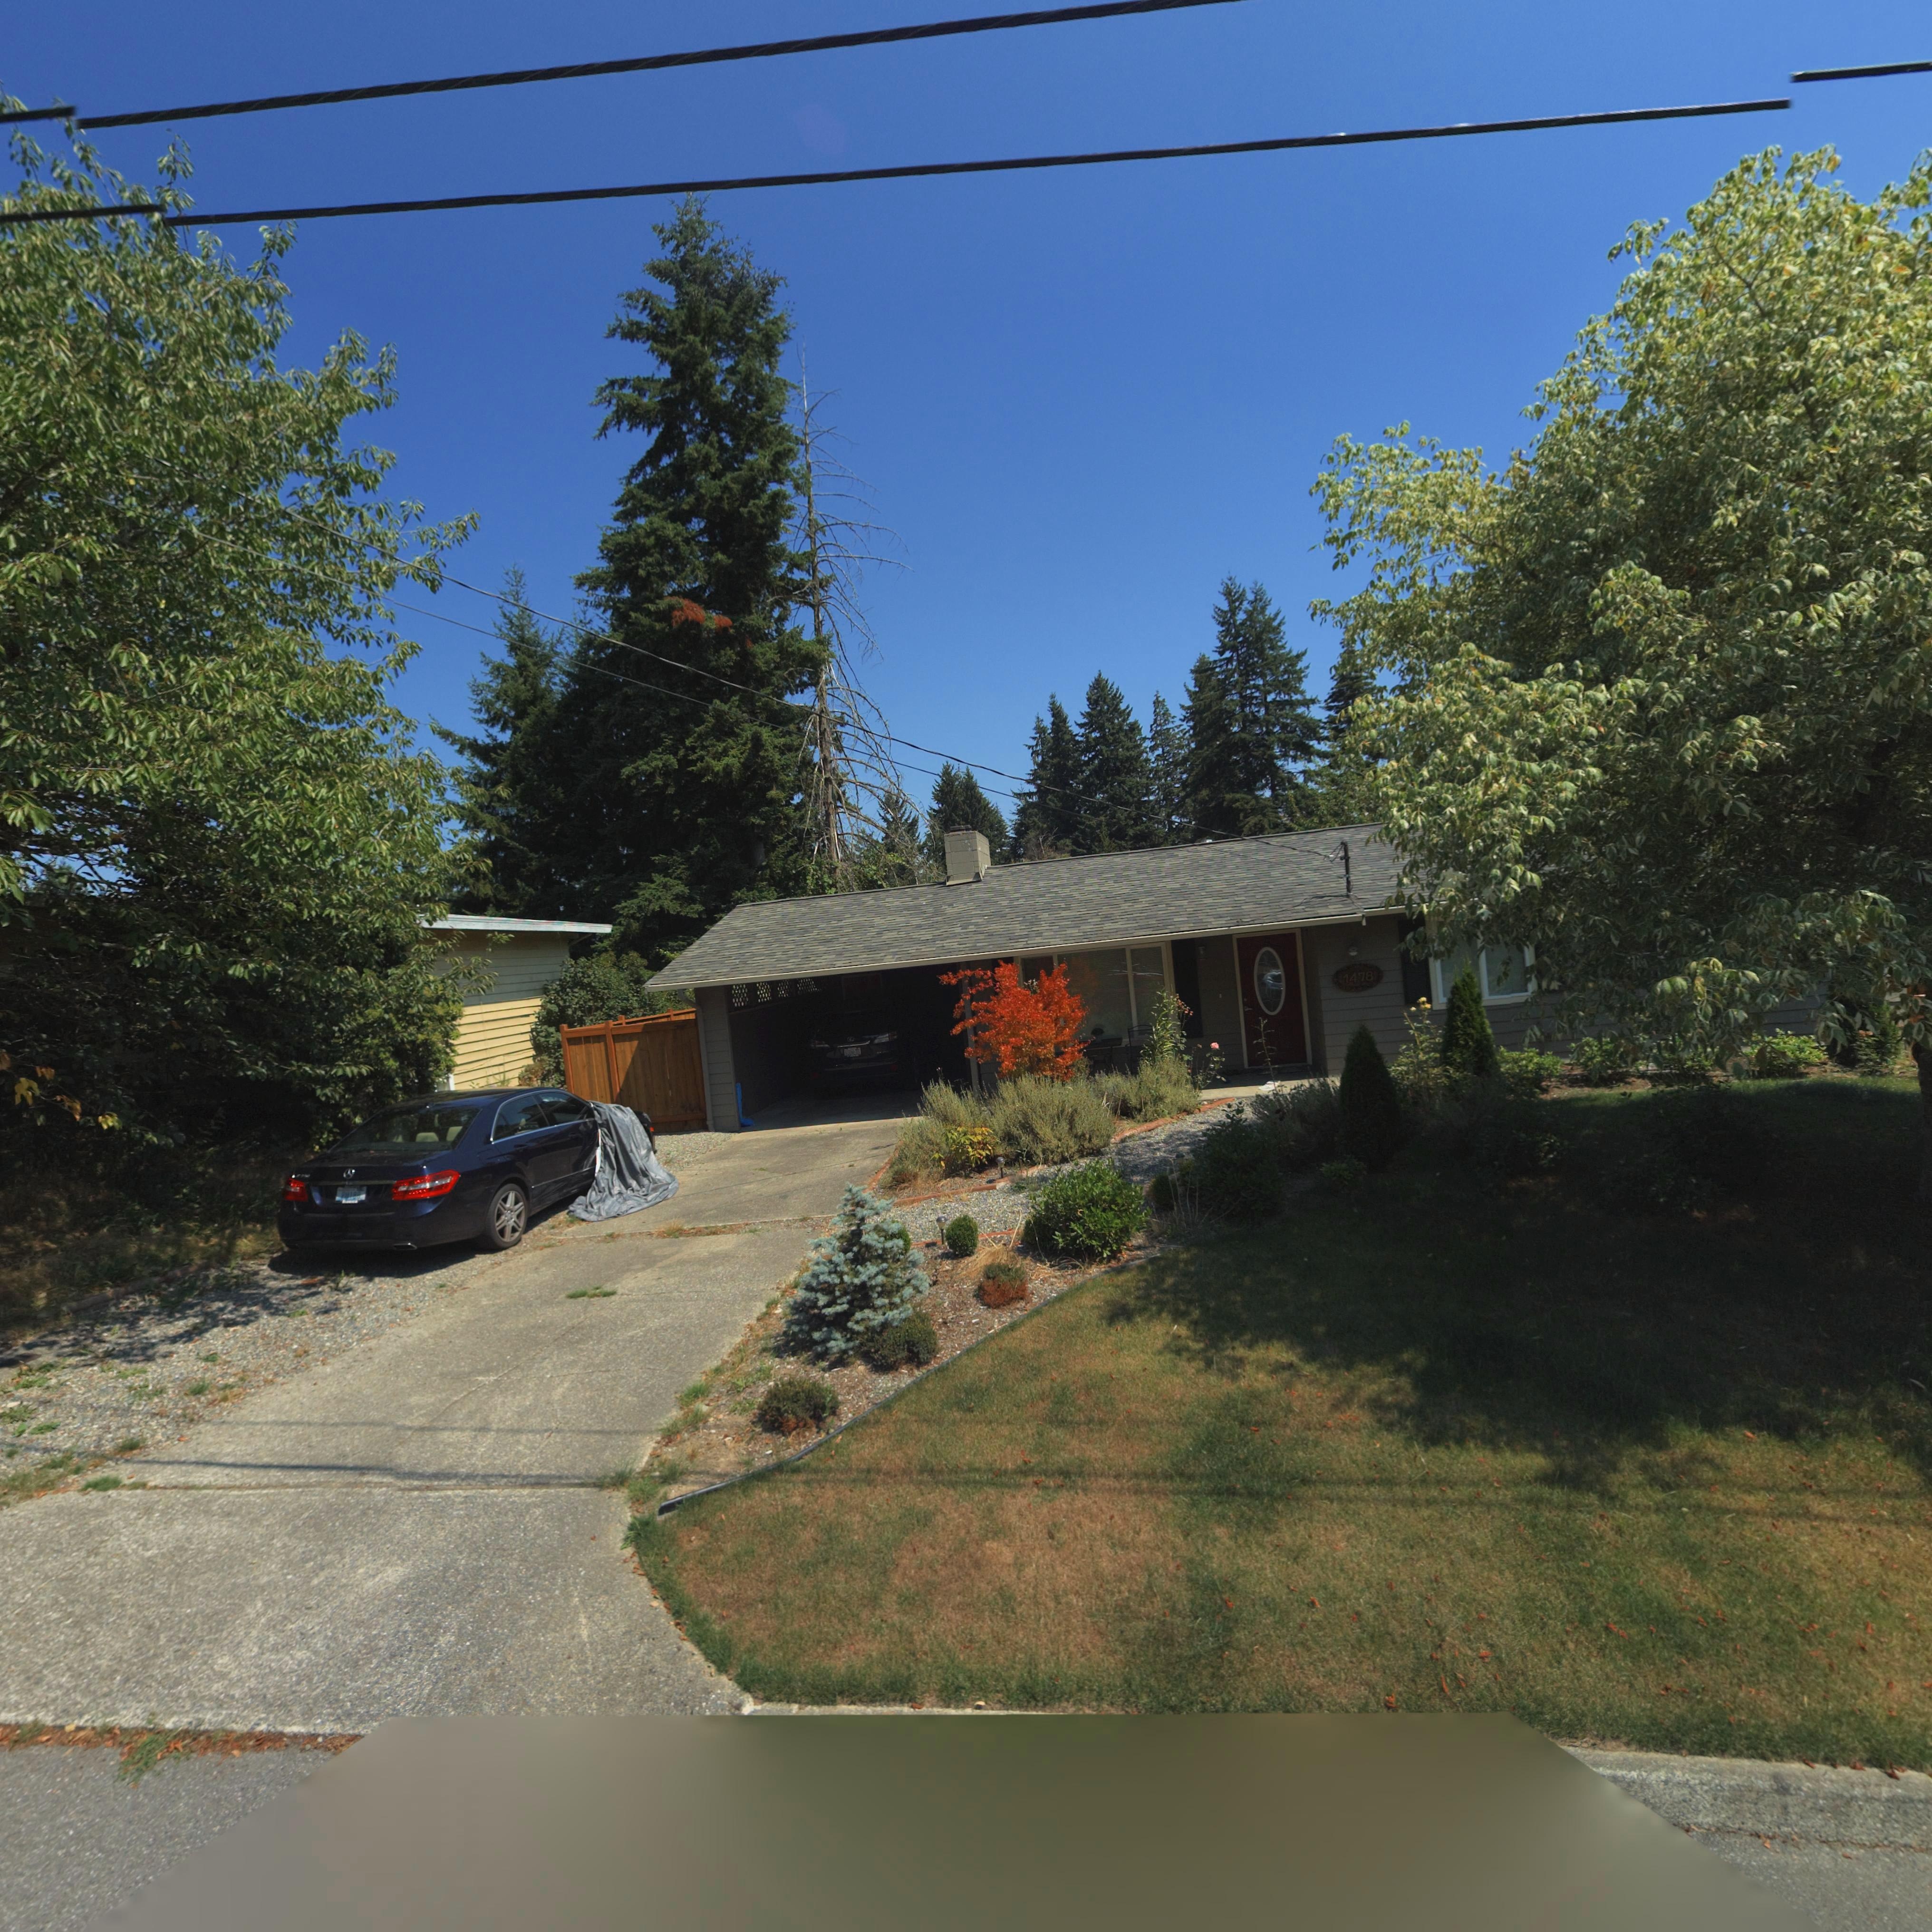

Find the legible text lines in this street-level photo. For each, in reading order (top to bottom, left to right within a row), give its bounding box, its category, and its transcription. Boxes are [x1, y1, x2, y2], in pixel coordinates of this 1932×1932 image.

[1344, 969, 1373, 984] StreetNumber: 1478